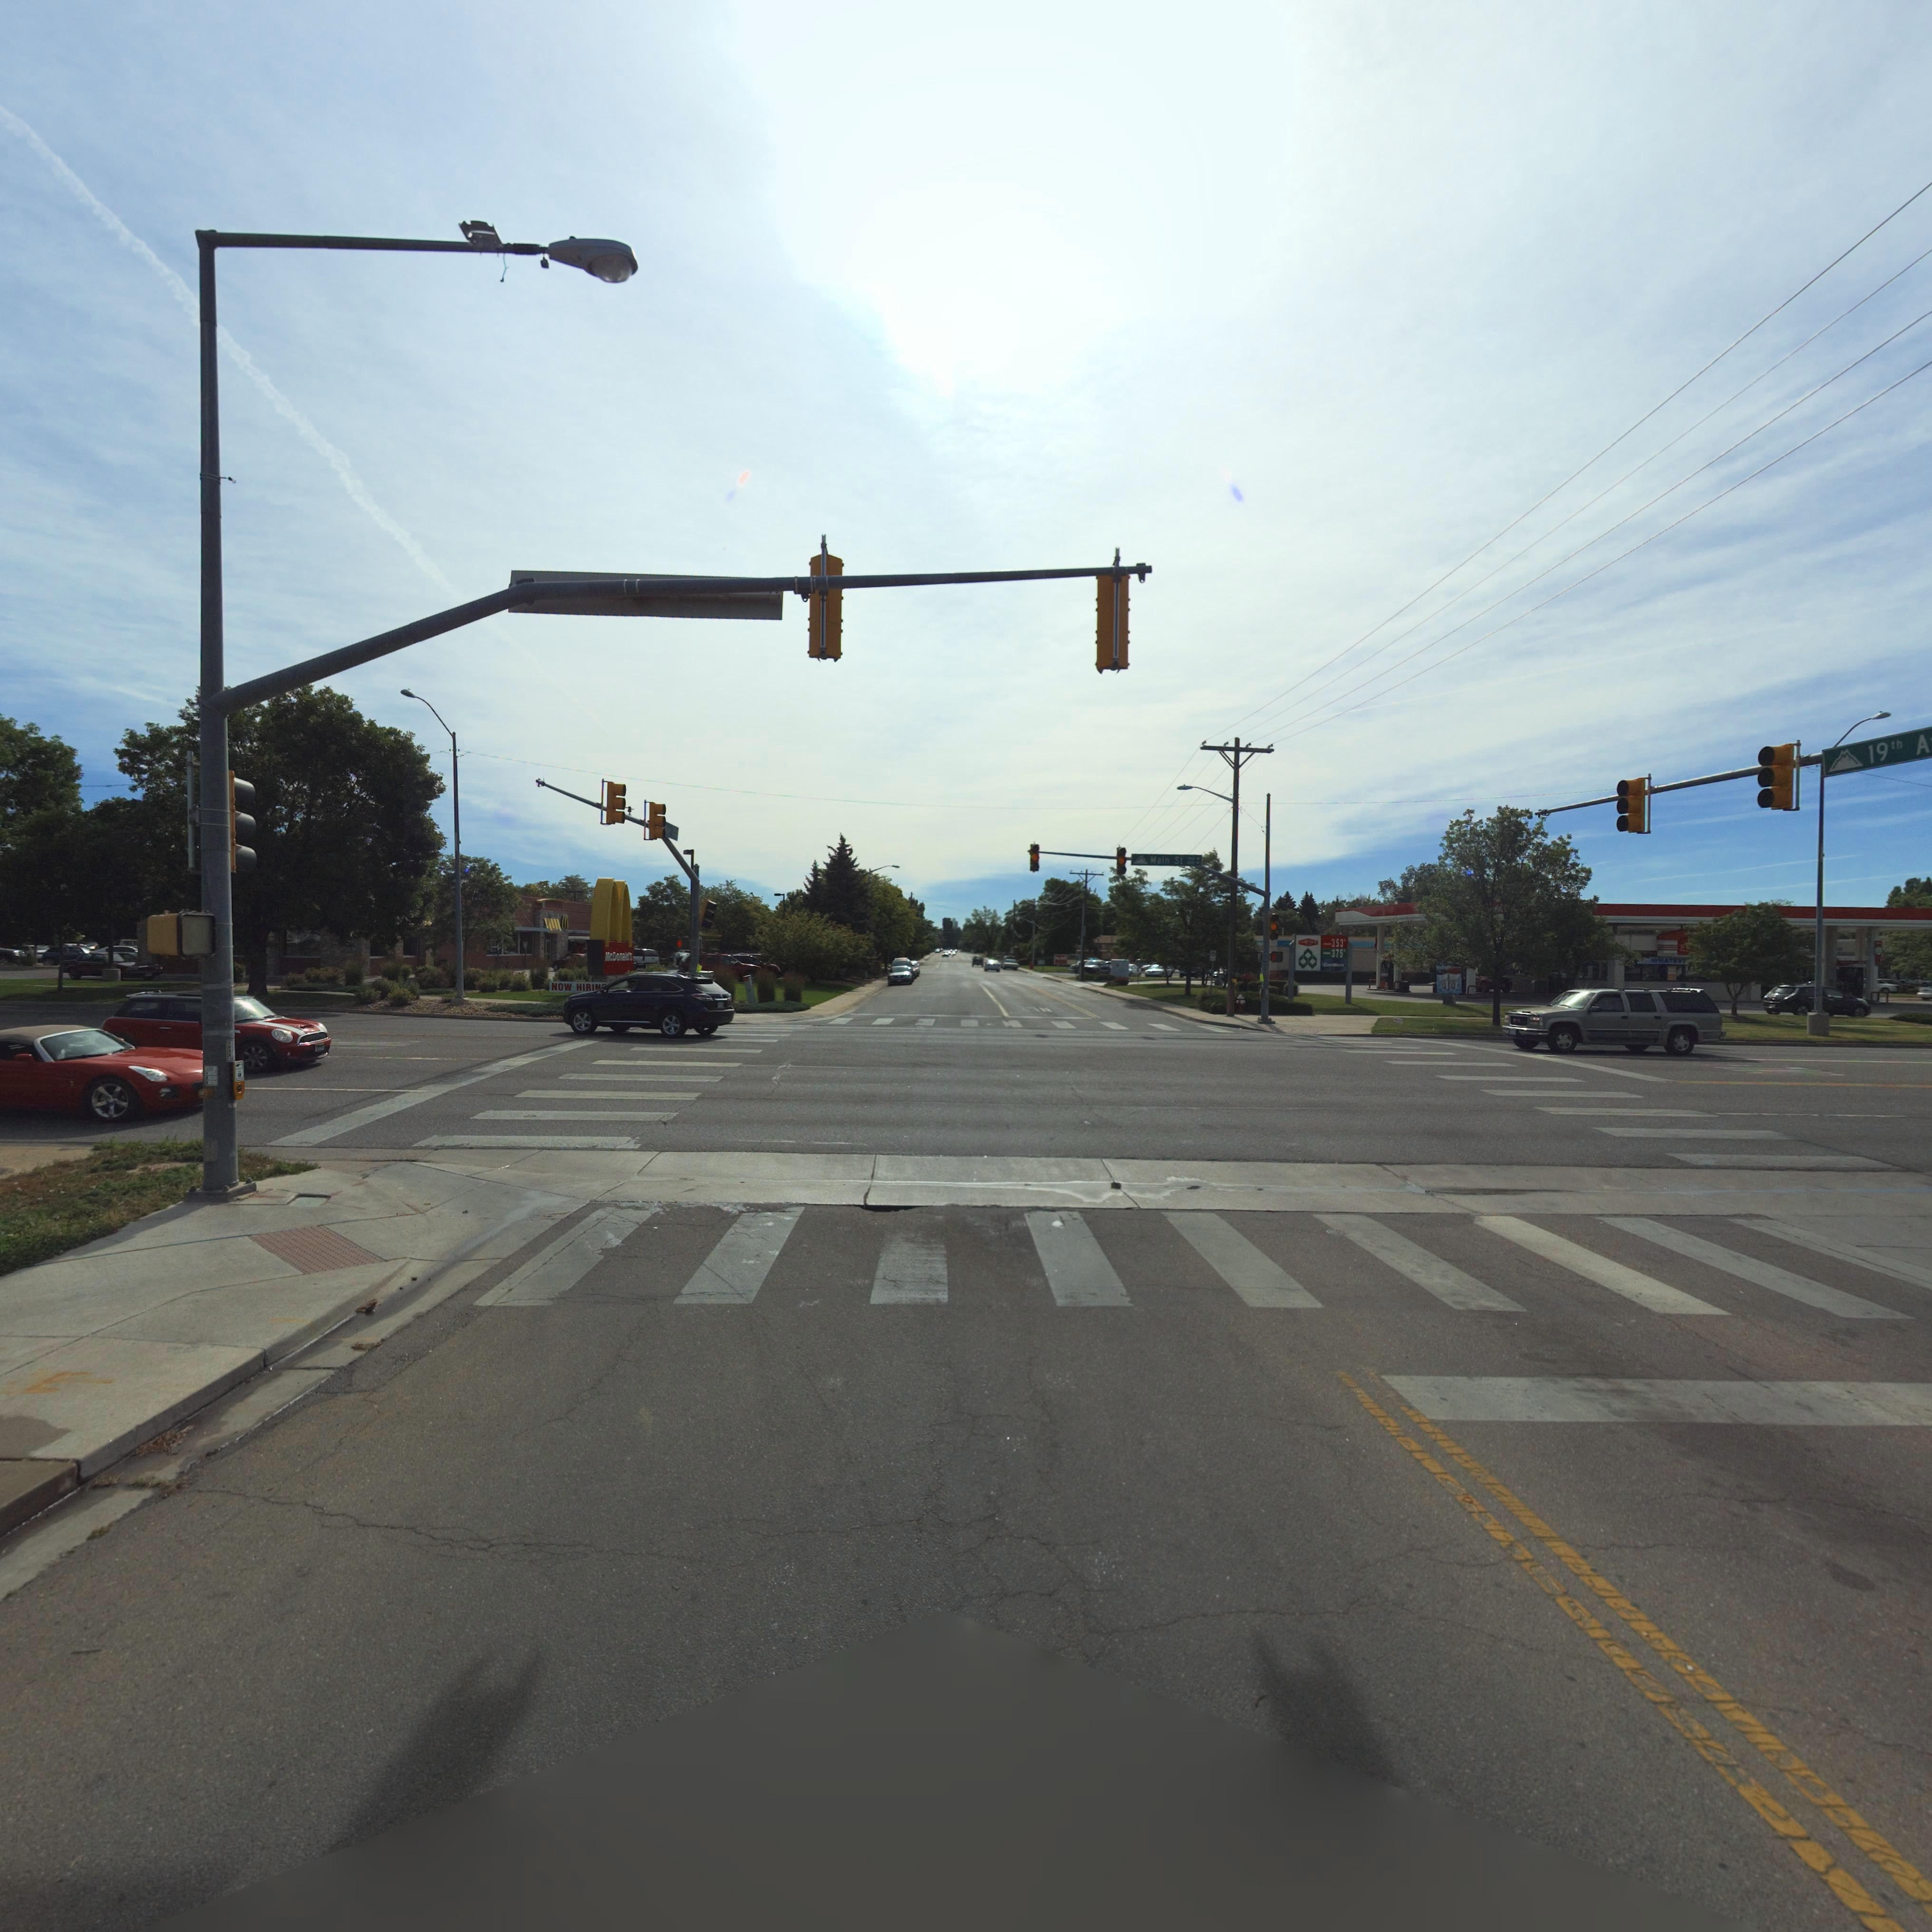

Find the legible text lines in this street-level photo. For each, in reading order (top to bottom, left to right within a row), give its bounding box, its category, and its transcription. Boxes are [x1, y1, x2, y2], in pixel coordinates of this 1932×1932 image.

[1866, 732, 1931, 764] StreetName: 19th A
[1150, 855, 1184, 864] StreetName: Main St
[1186, 860, 1199, 864] StreetNumberRange: 1*** ->
[1299, 938, 1317, 944] BusinessName: *ORN**
[604, 951, 633, 962] BusinessName: McDonald's